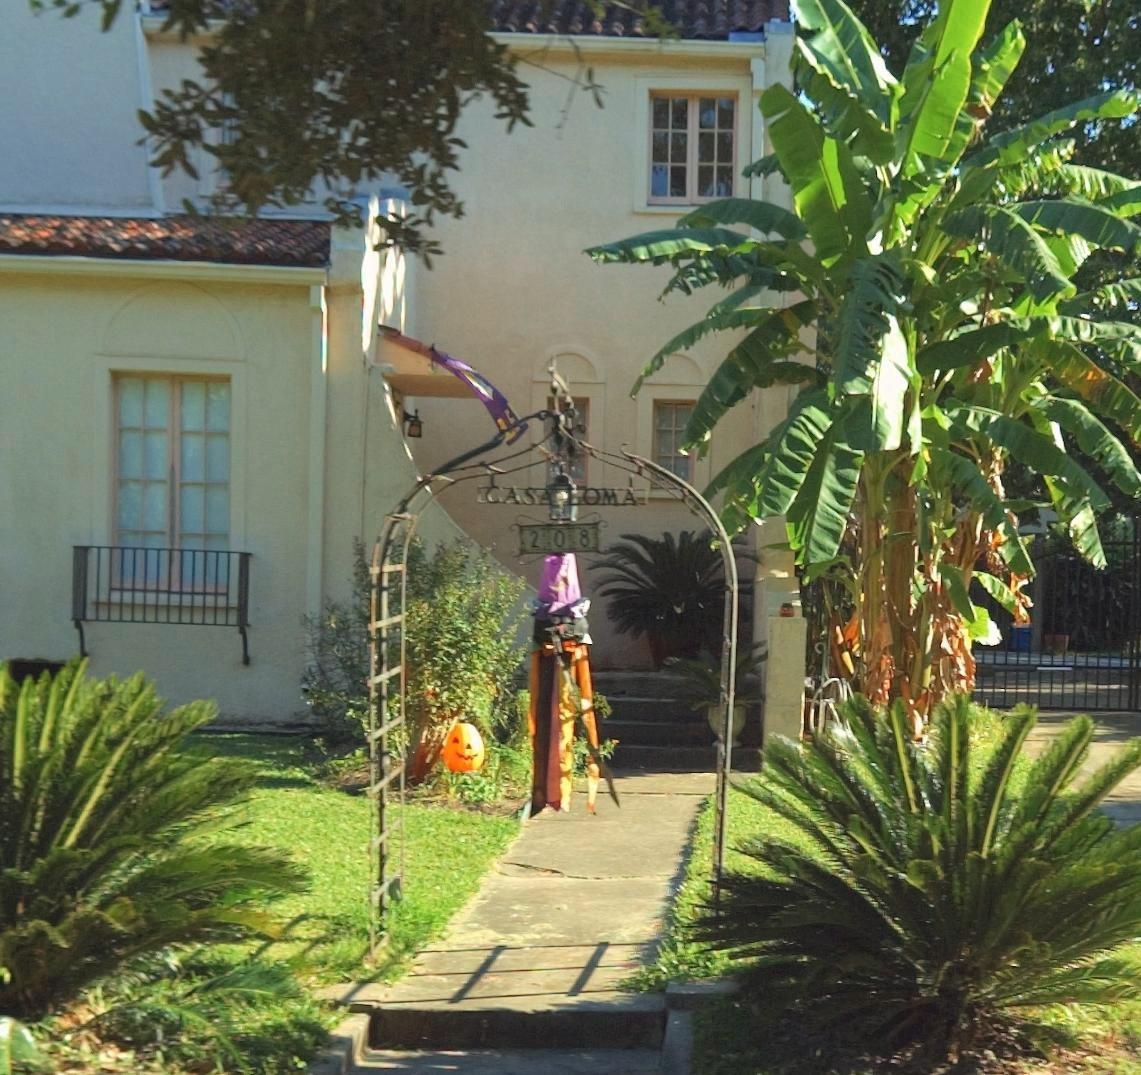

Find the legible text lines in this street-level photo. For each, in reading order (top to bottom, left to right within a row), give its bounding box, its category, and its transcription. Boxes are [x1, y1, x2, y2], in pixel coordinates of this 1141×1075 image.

[527, 527, 592, 551] StreetNumber: 208